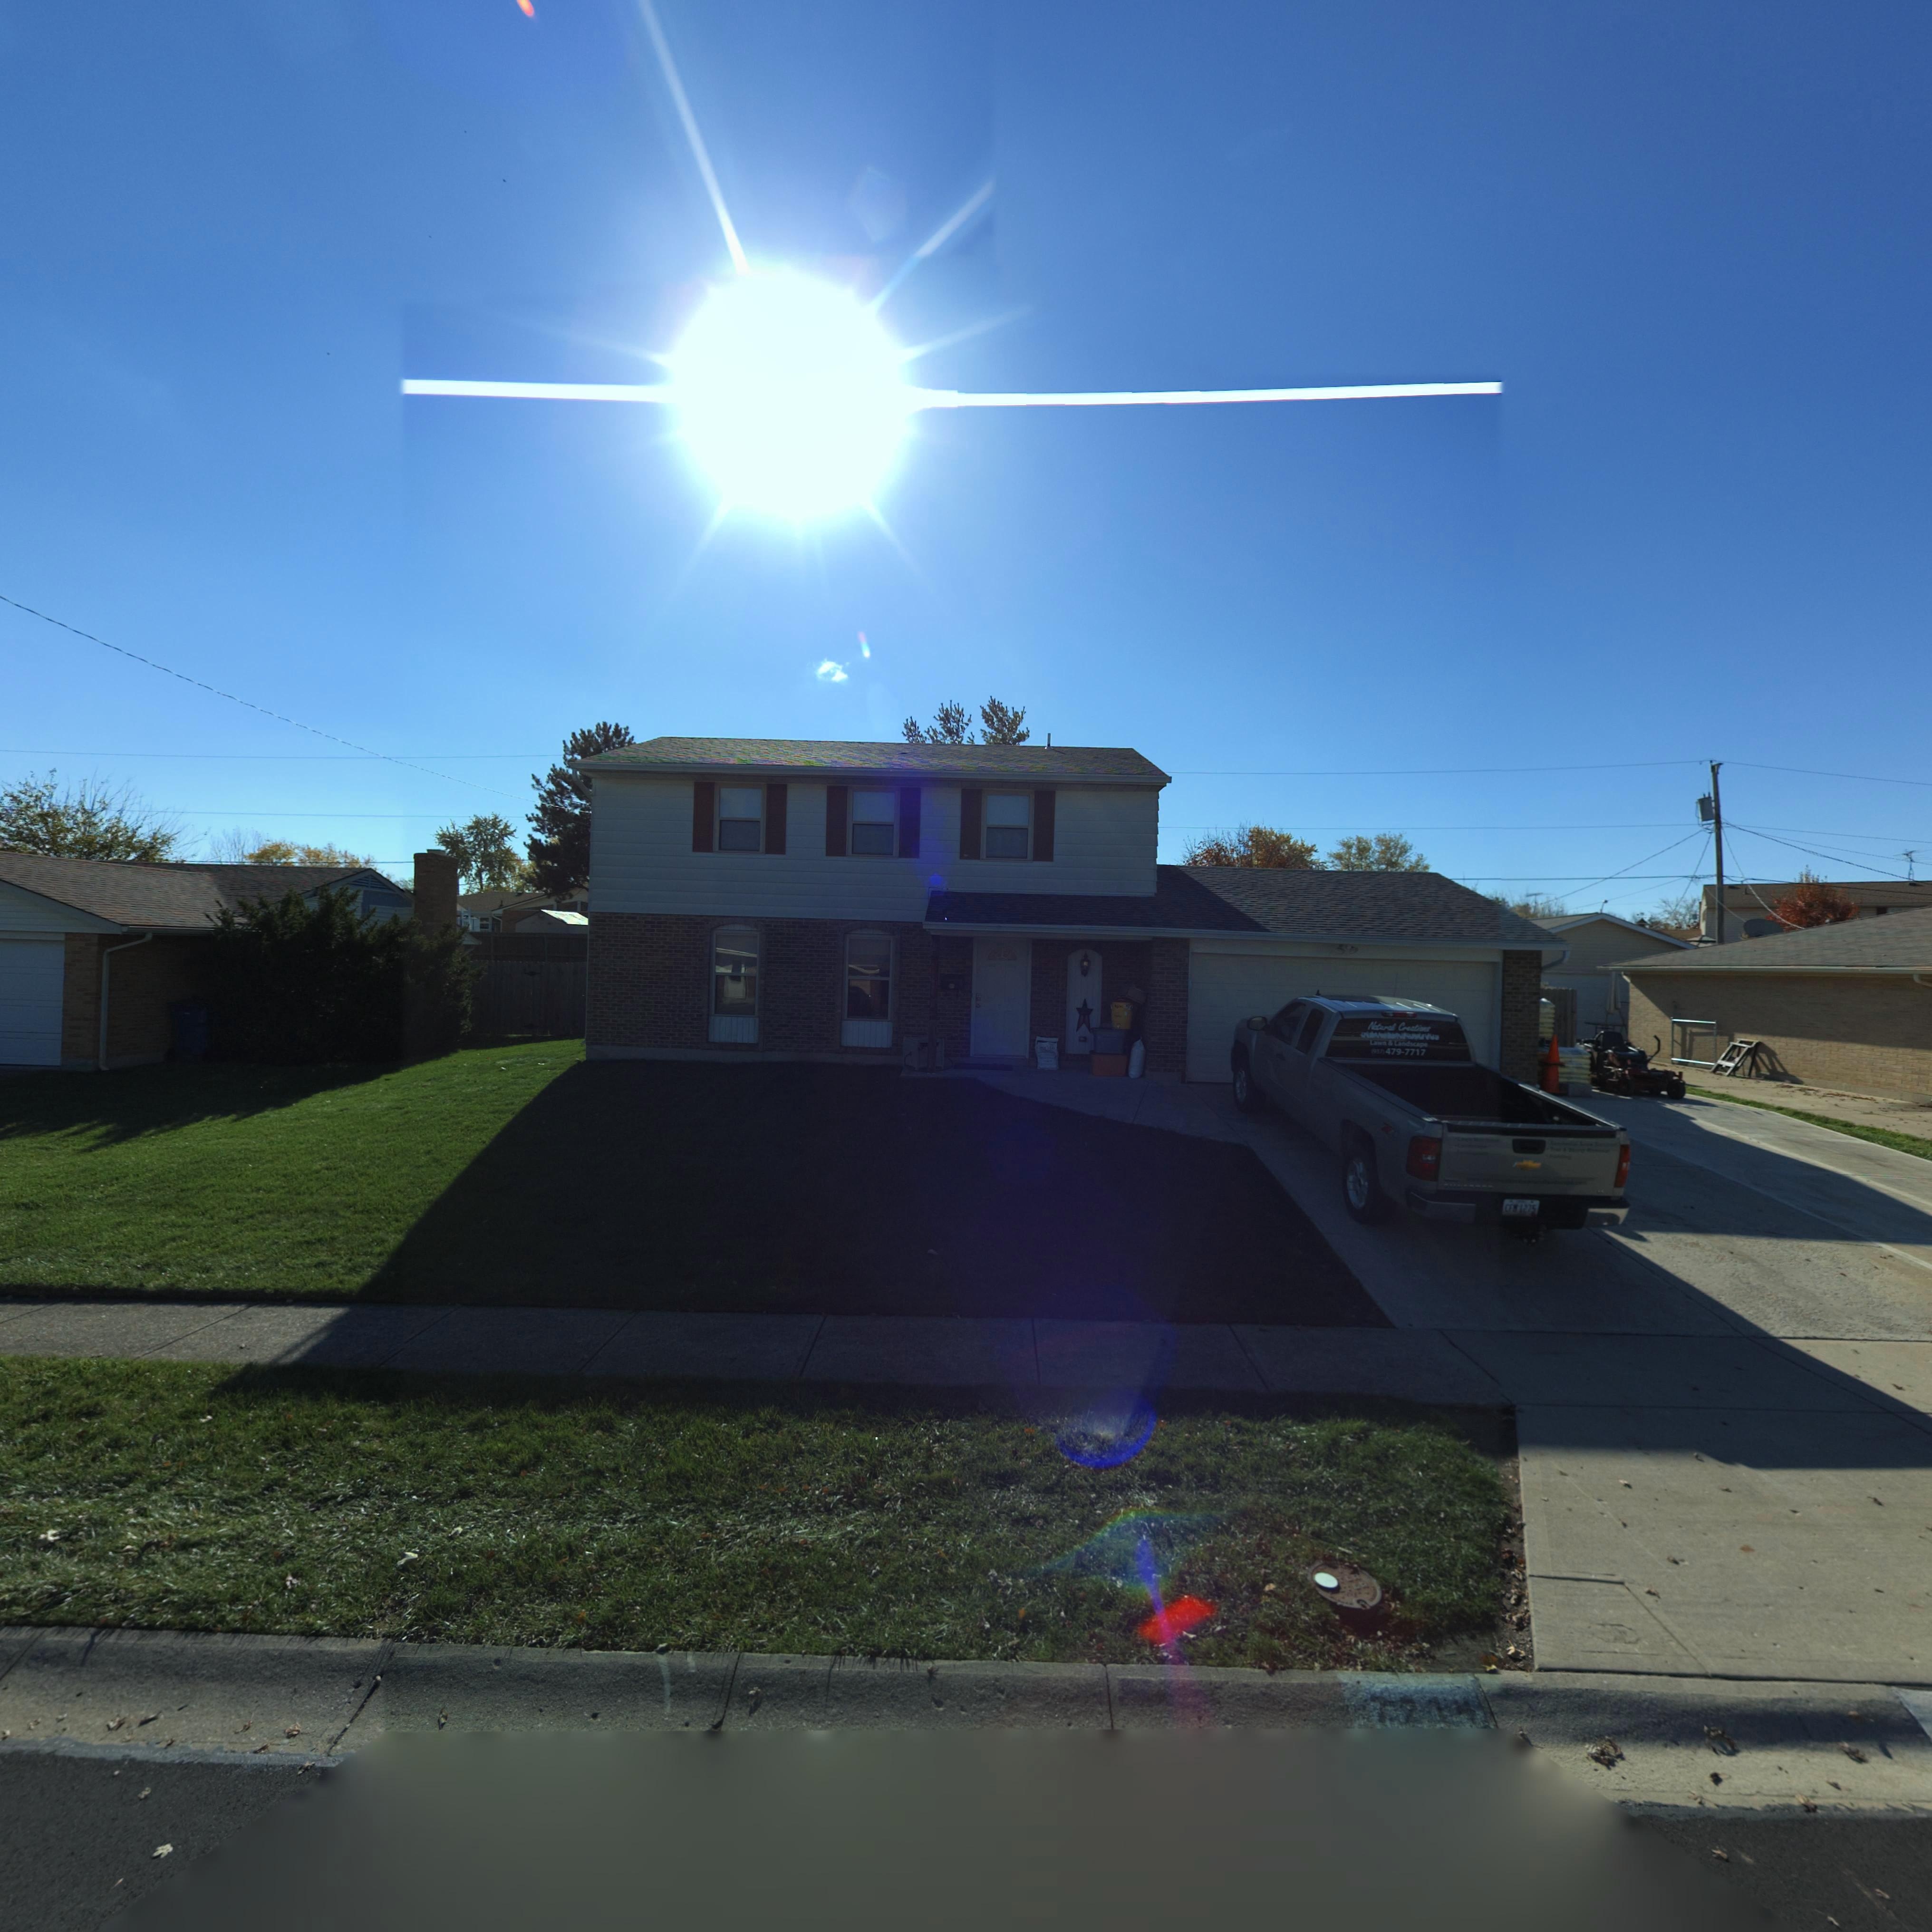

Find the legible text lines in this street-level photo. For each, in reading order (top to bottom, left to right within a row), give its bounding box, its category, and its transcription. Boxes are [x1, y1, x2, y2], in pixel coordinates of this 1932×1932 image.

[1367, 1694, 1479, 1728] StreetNumber: 7214